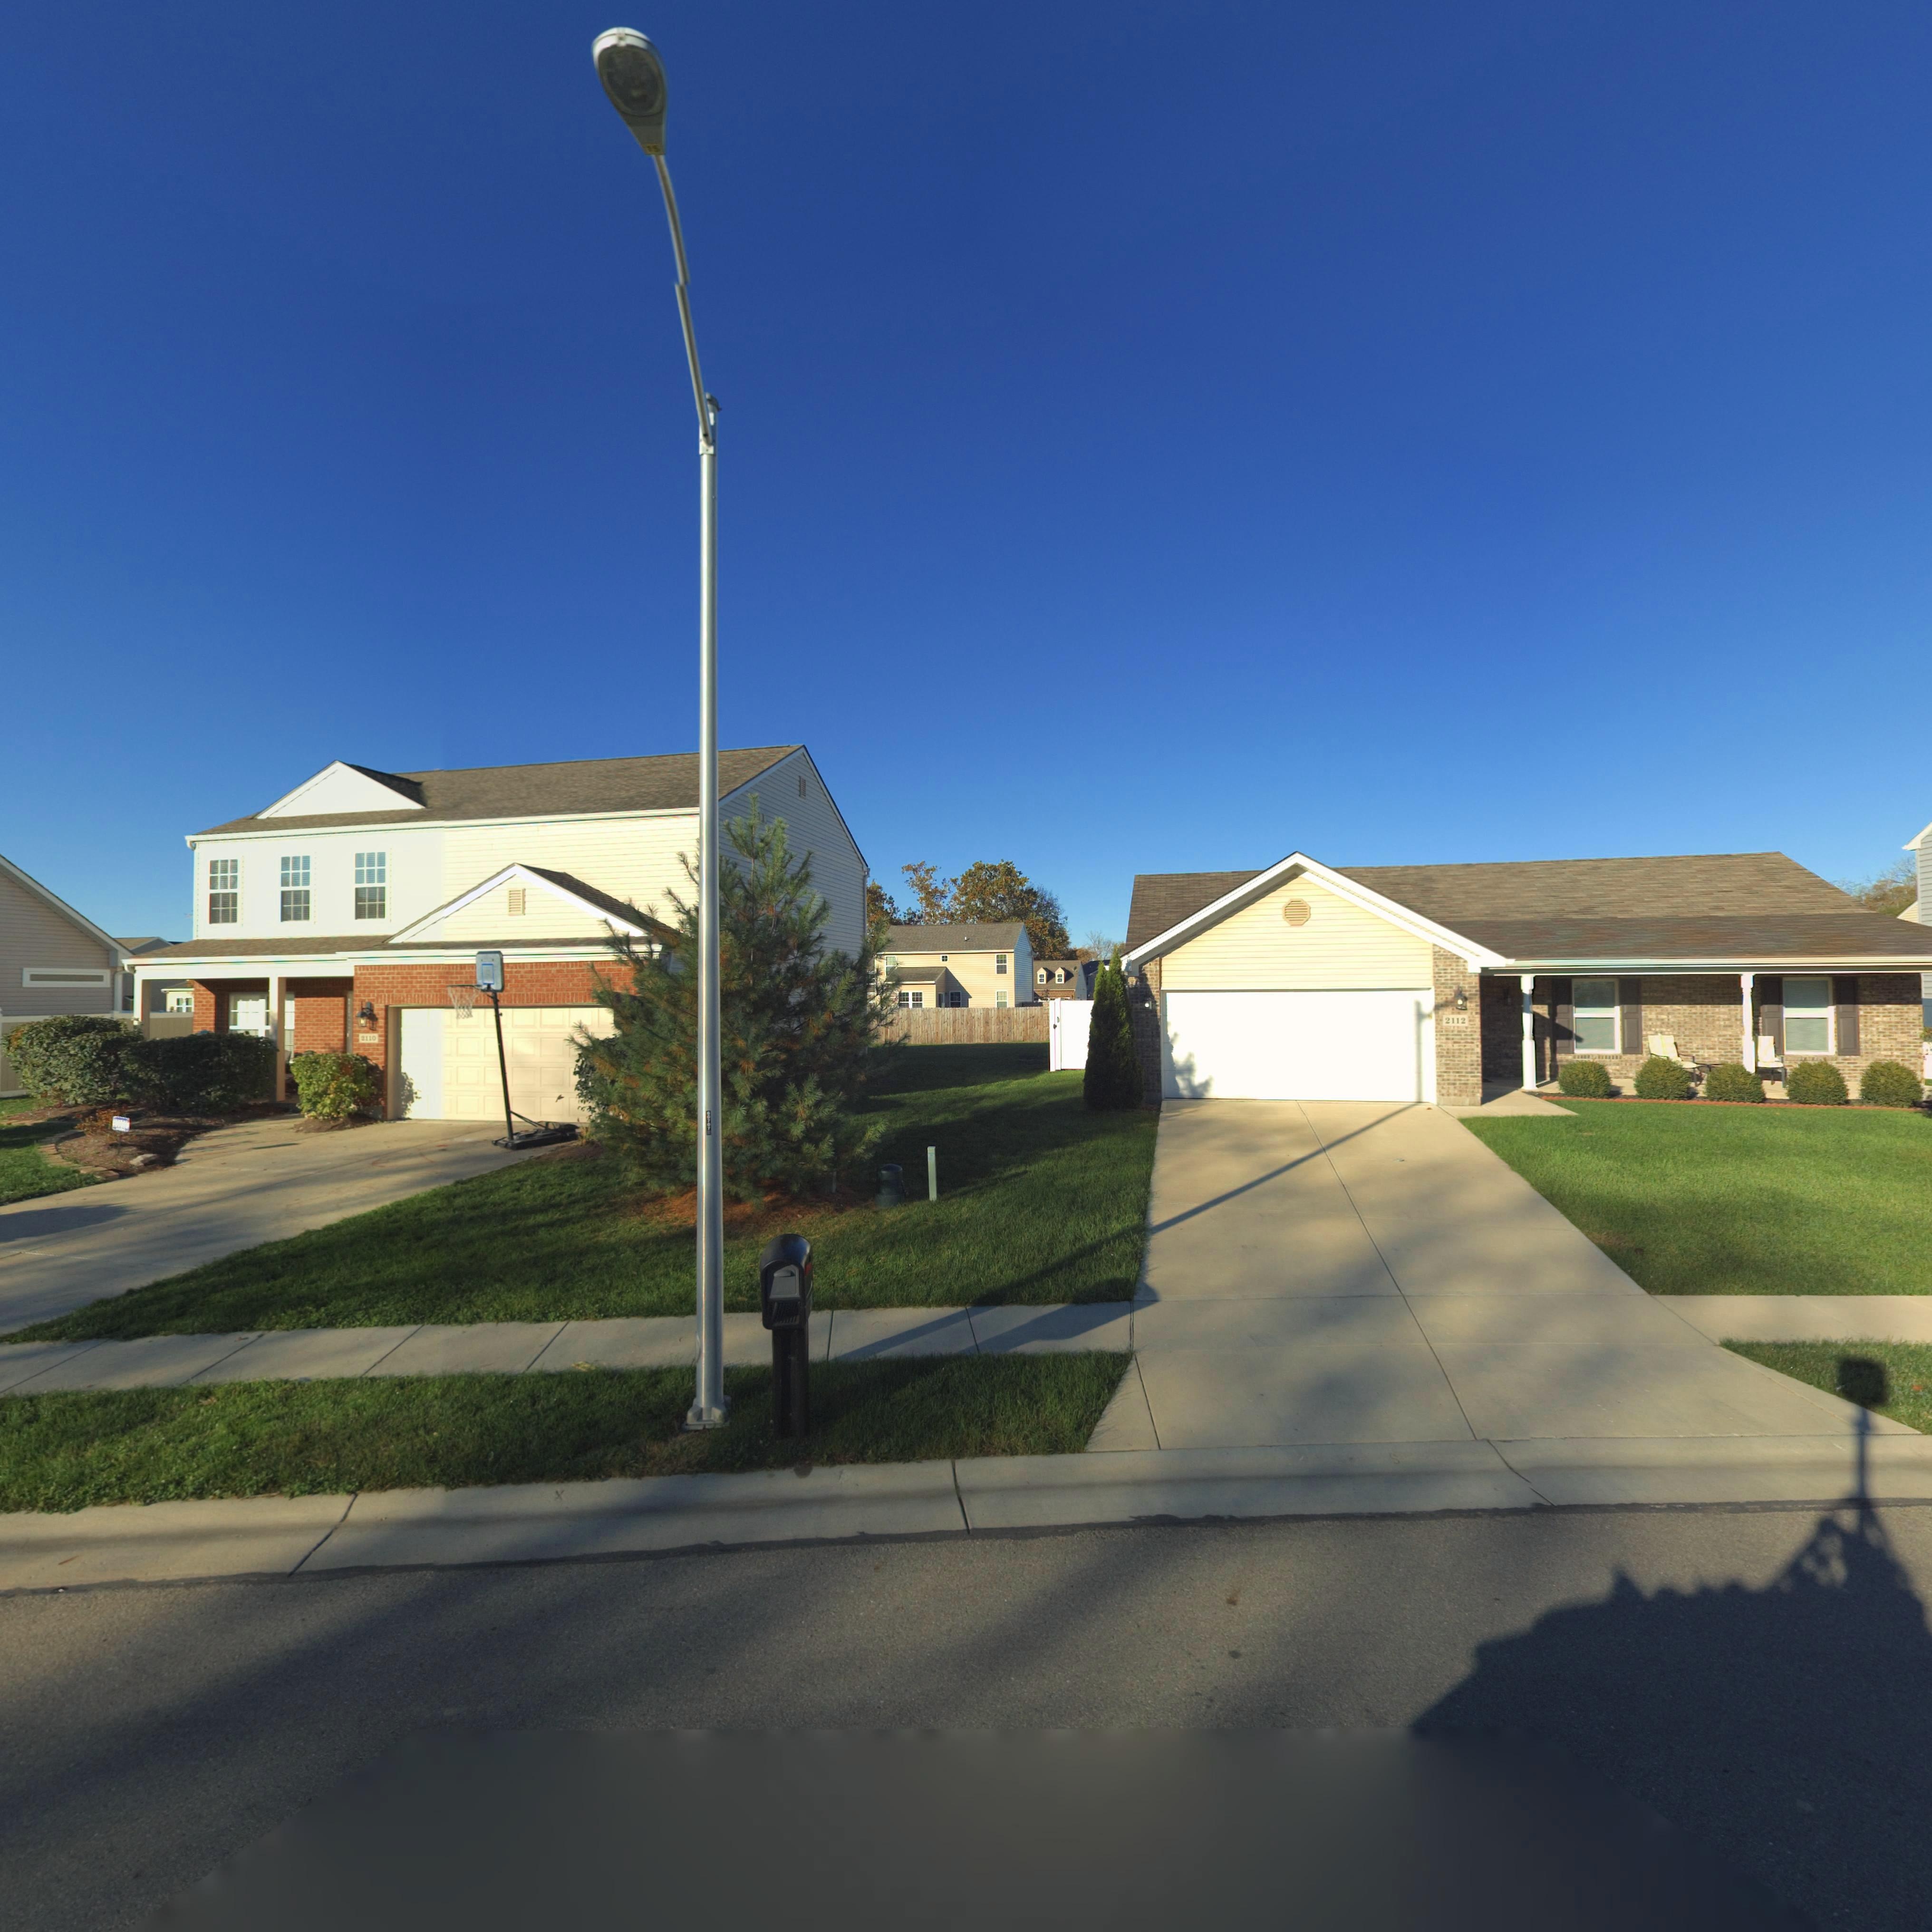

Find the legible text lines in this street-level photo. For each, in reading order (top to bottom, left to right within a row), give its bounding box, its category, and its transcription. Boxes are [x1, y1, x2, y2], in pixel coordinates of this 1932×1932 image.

[1444, 1016, 1467, 1025] StreetNumber: 2112
[360, 1034, 377, 1042] StreetNumber: 2110